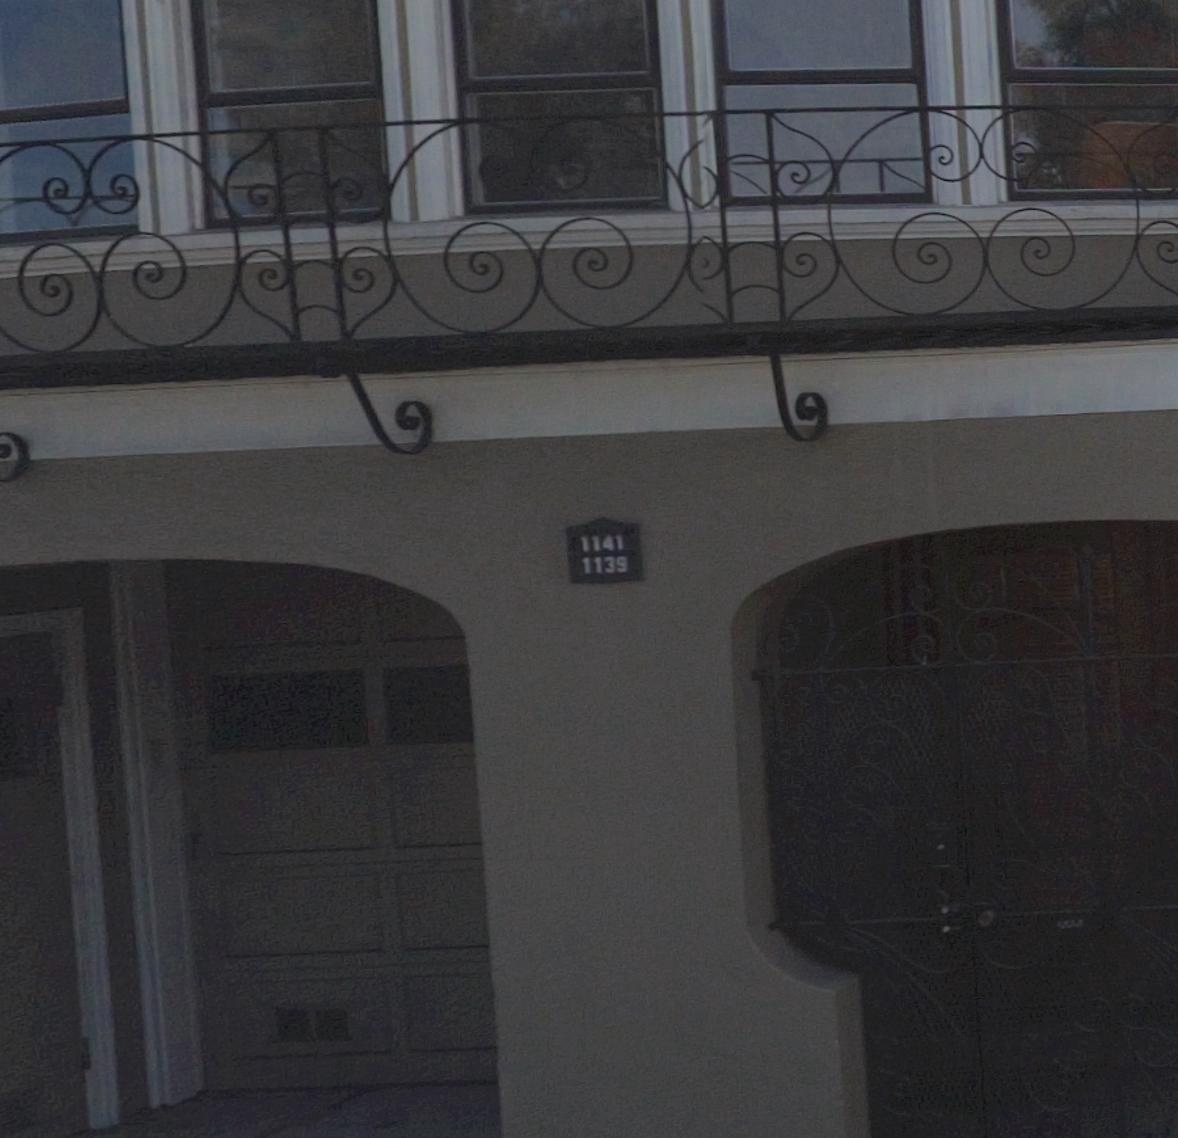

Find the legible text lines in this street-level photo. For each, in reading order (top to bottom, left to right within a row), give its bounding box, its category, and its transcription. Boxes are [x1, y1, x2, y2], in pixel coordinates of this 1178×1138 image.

[578, 534, 624, 553] StreetNumber: 1141
[580, 555, 628, 575] StreetNumber: 1139